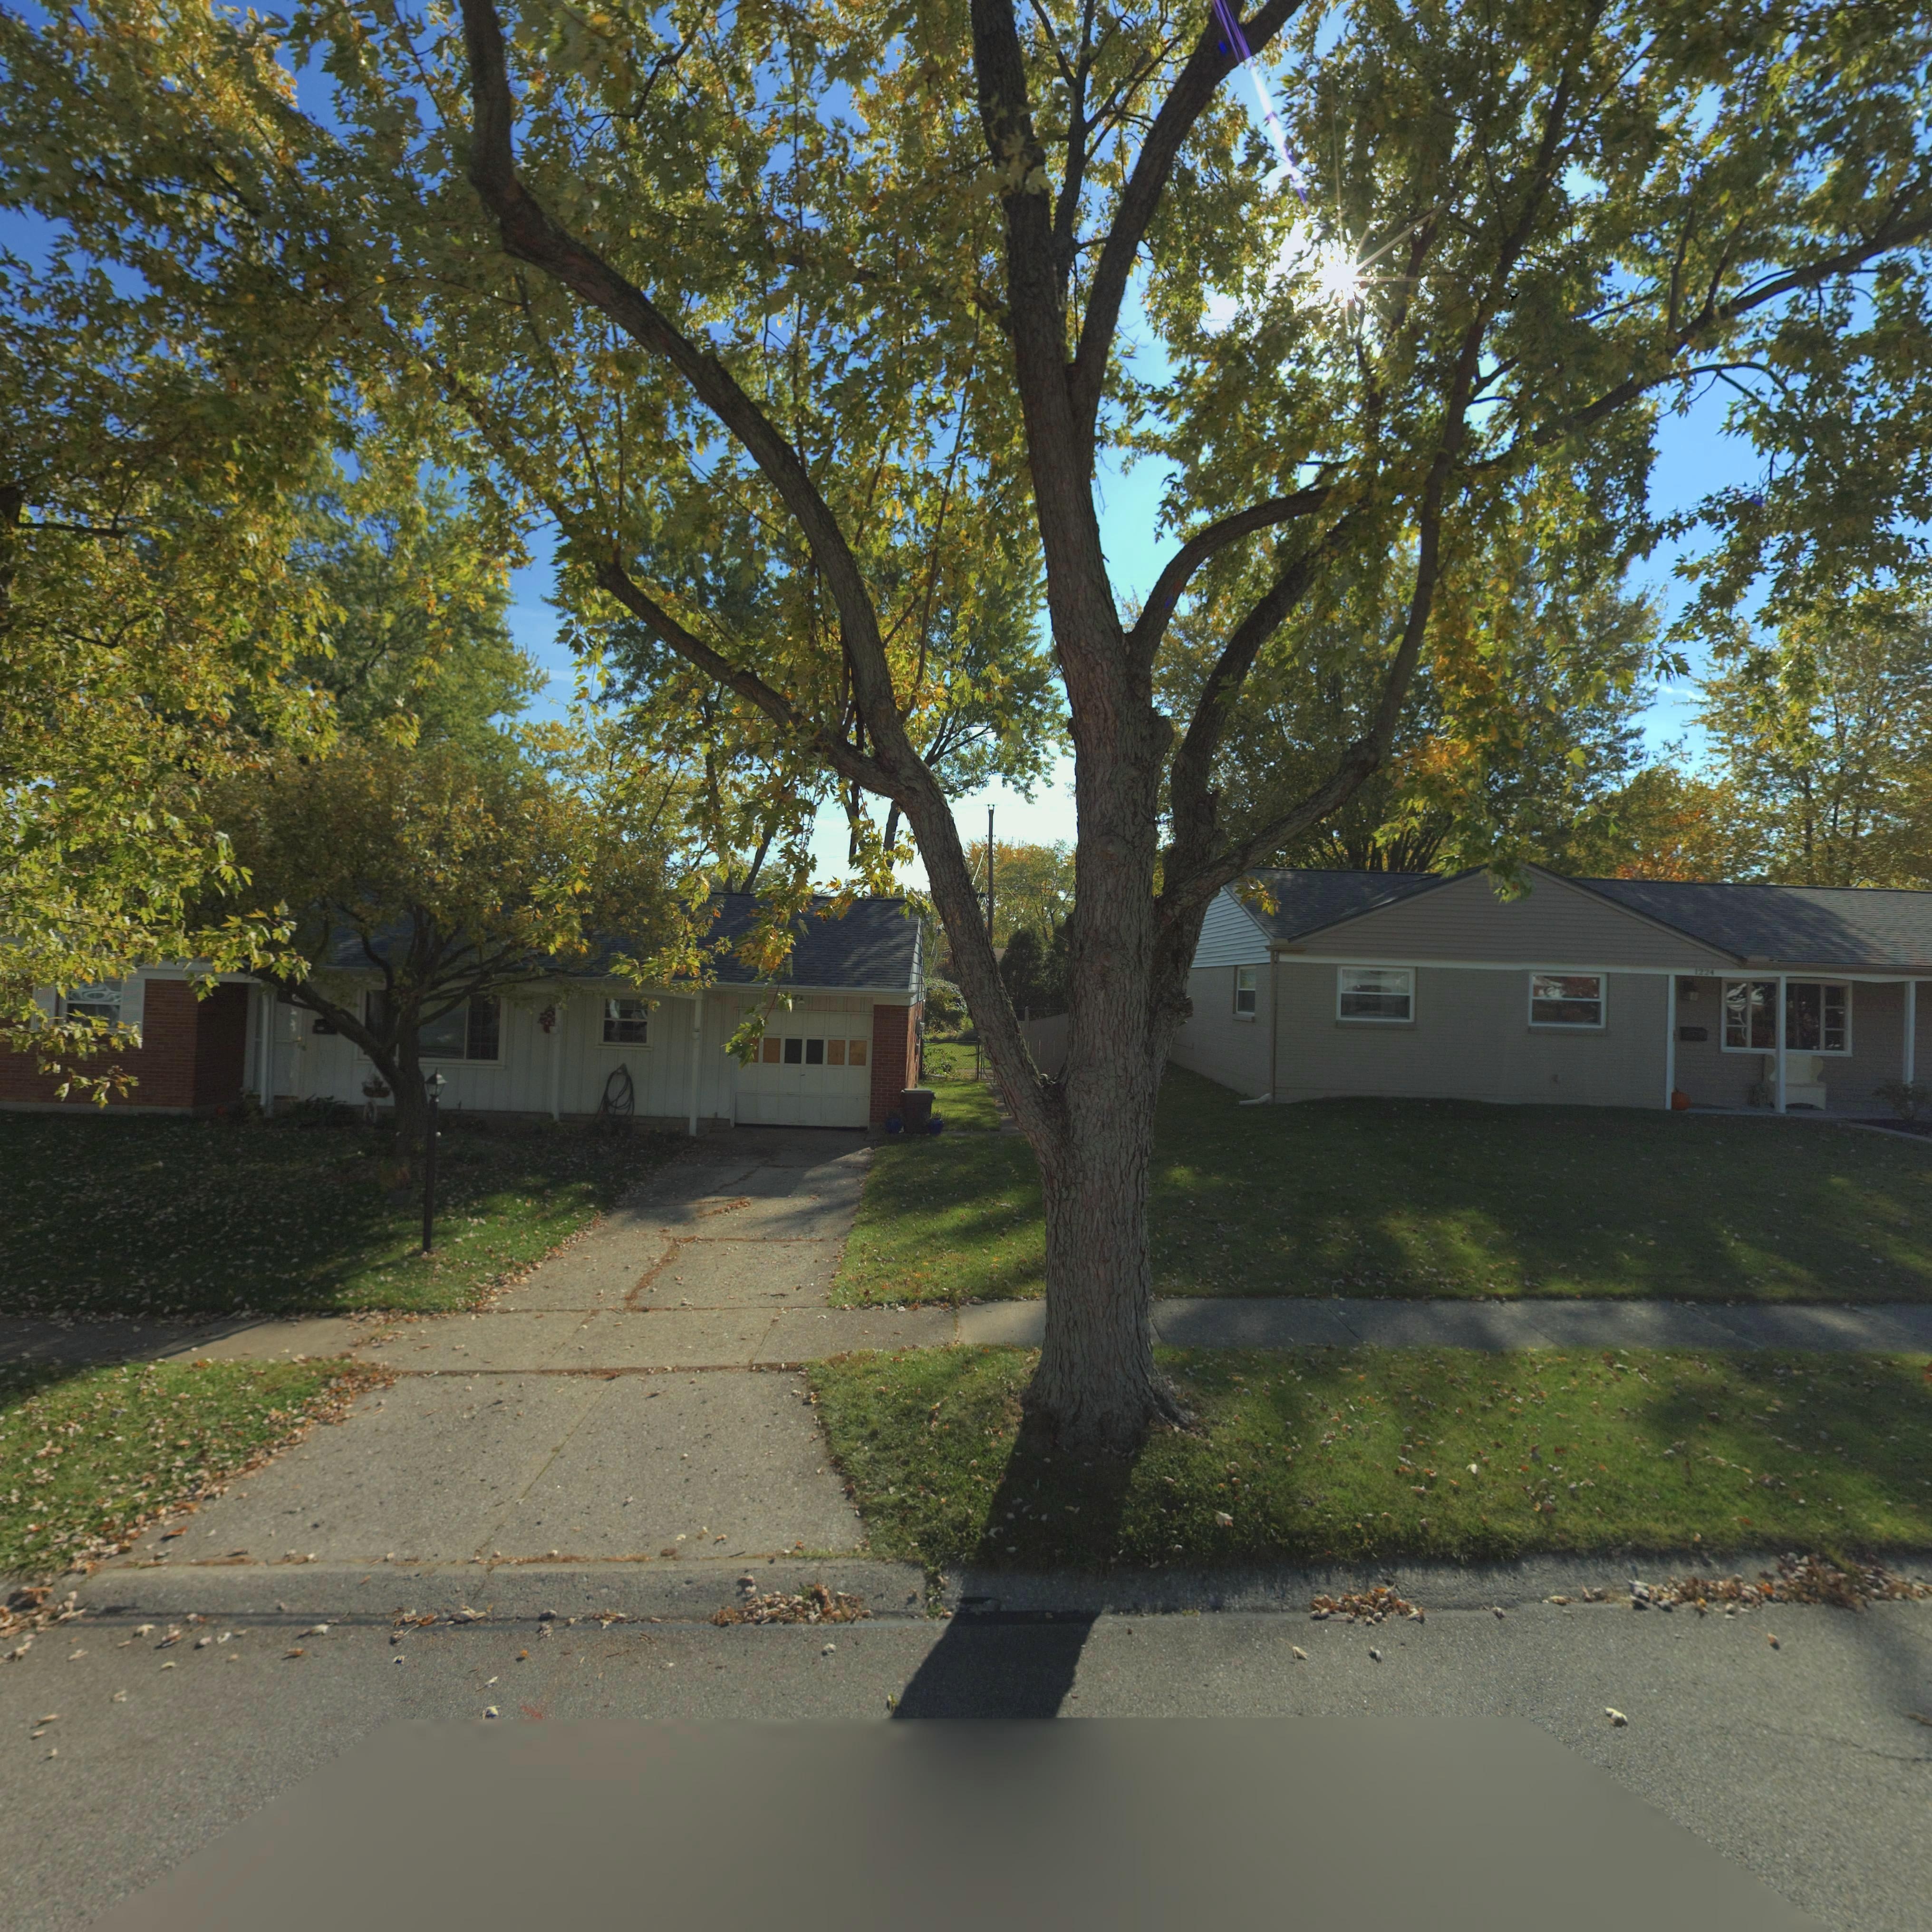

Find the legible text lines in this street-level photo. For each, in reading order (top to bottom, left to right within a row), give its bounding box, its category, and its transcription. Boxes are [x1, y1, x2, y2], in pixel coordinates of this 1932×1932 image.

[1695, 967, 1714, 976] StreetNumber: 1224